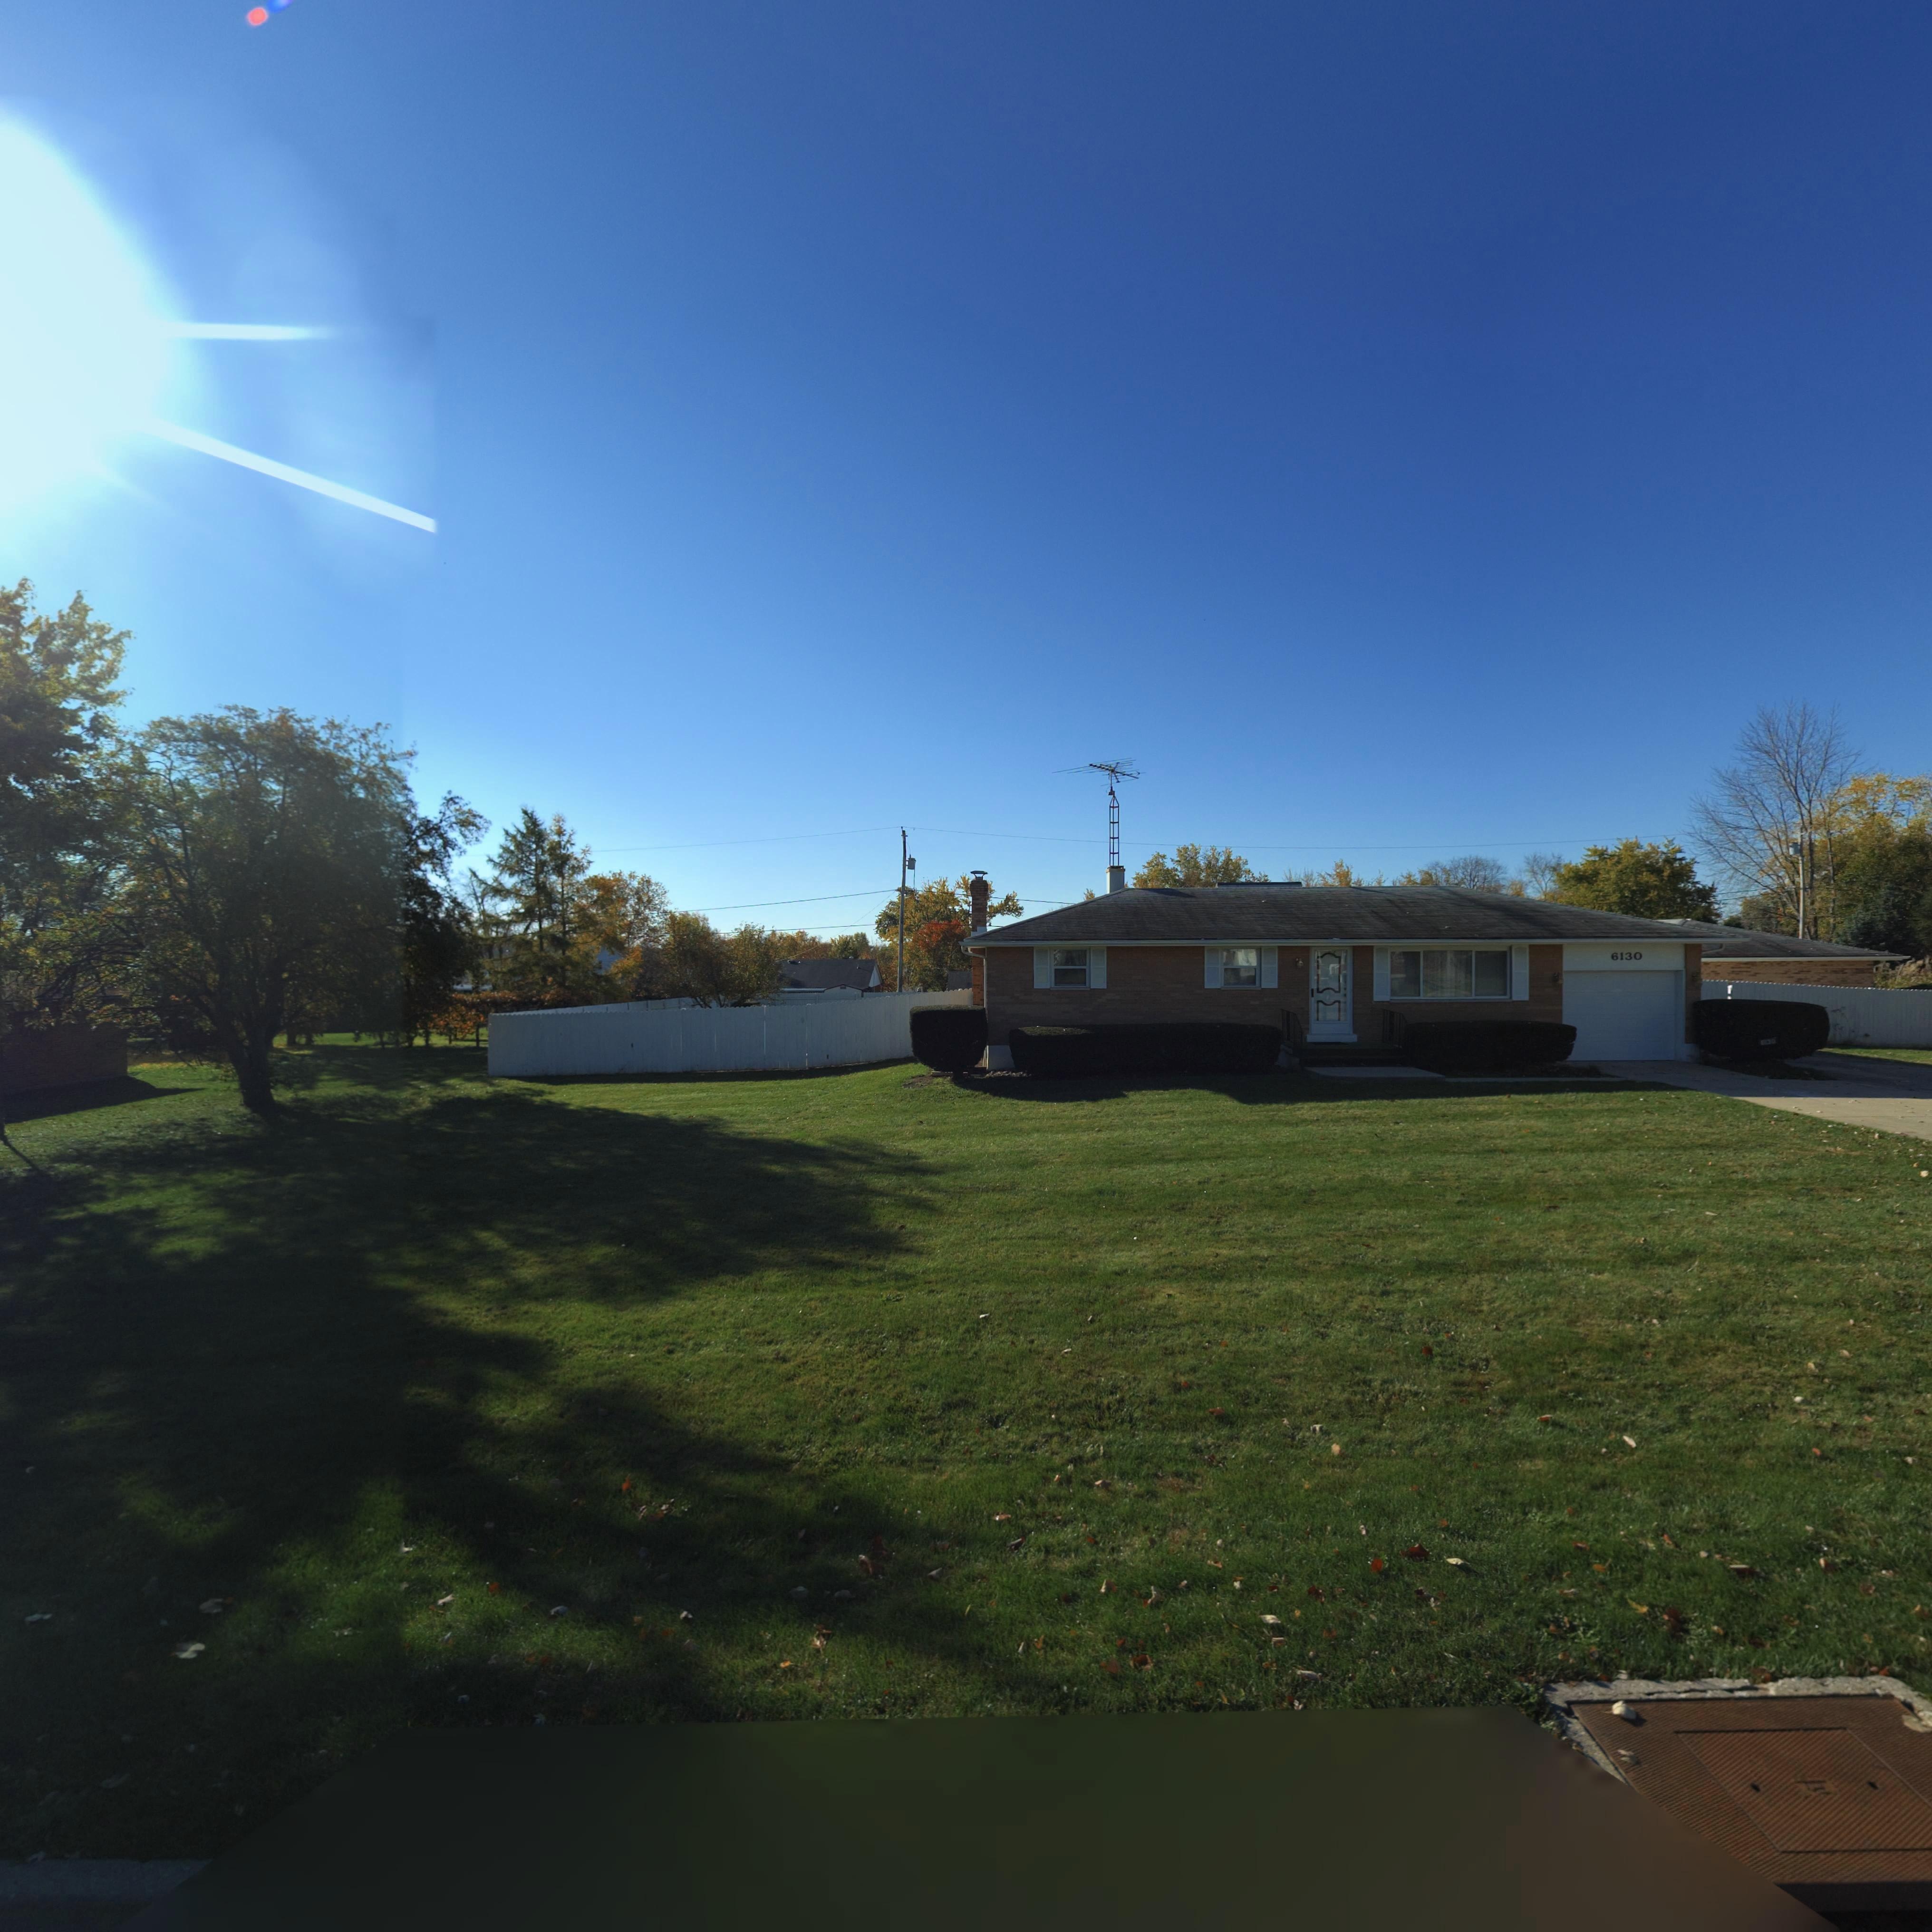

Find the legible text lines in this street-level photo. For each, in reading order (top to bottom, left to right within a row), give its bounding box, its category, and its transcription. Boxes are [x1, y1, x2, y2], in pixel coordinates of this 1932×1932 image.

[1610, 952, 1643, 961] StreetNumber: 6130
[1759, 1037, 1777, 1046] StreetNumber: 6130